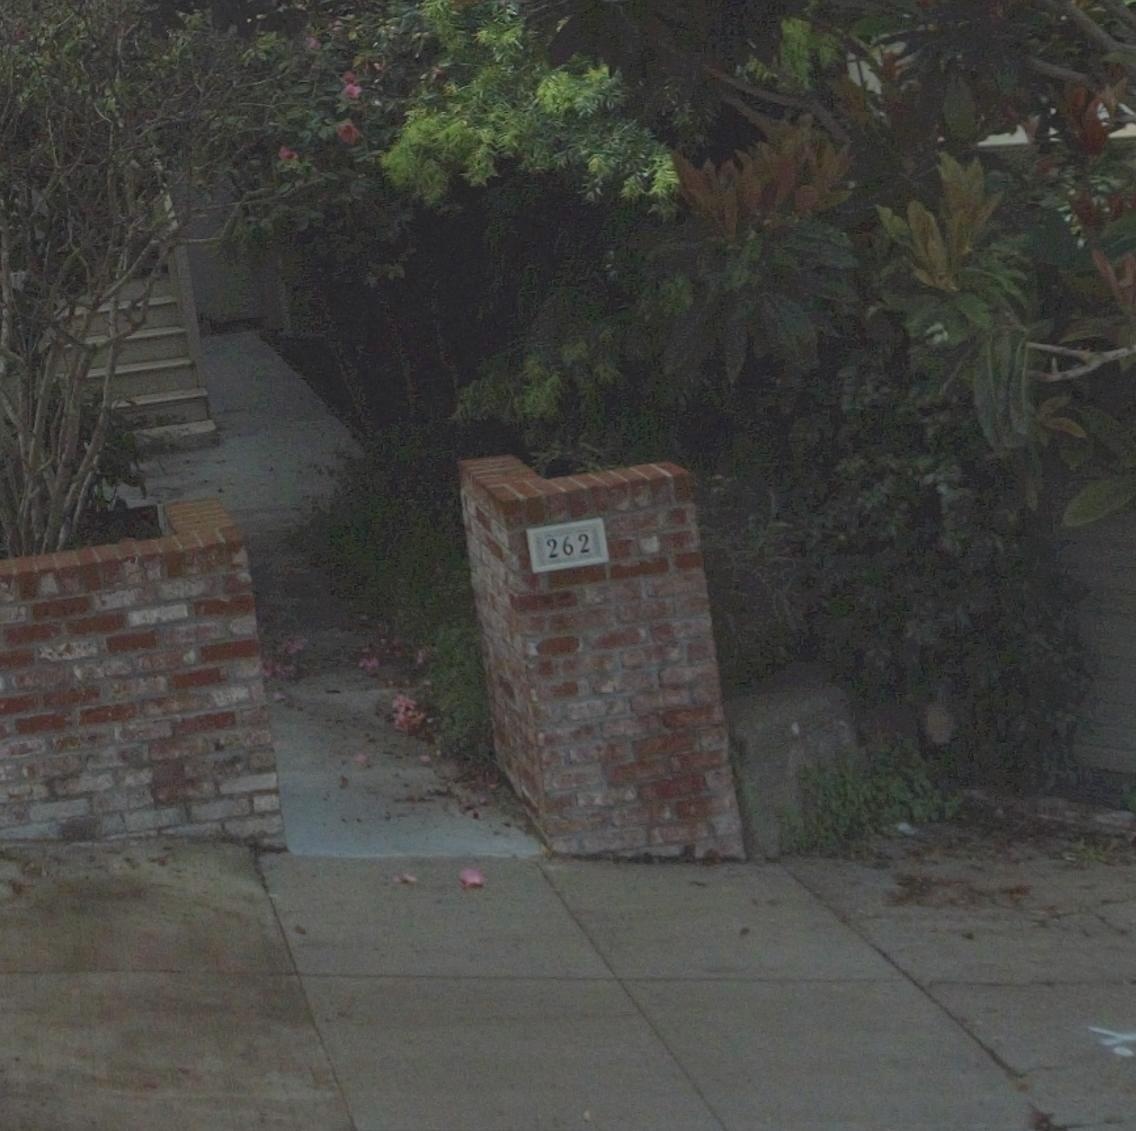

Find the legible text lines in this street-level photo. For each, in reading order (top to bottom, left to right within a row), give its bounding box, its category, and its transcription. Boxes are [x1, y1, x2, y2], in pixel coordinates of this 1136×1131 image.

[544, 532, 594, 560] StreetNumber: 262